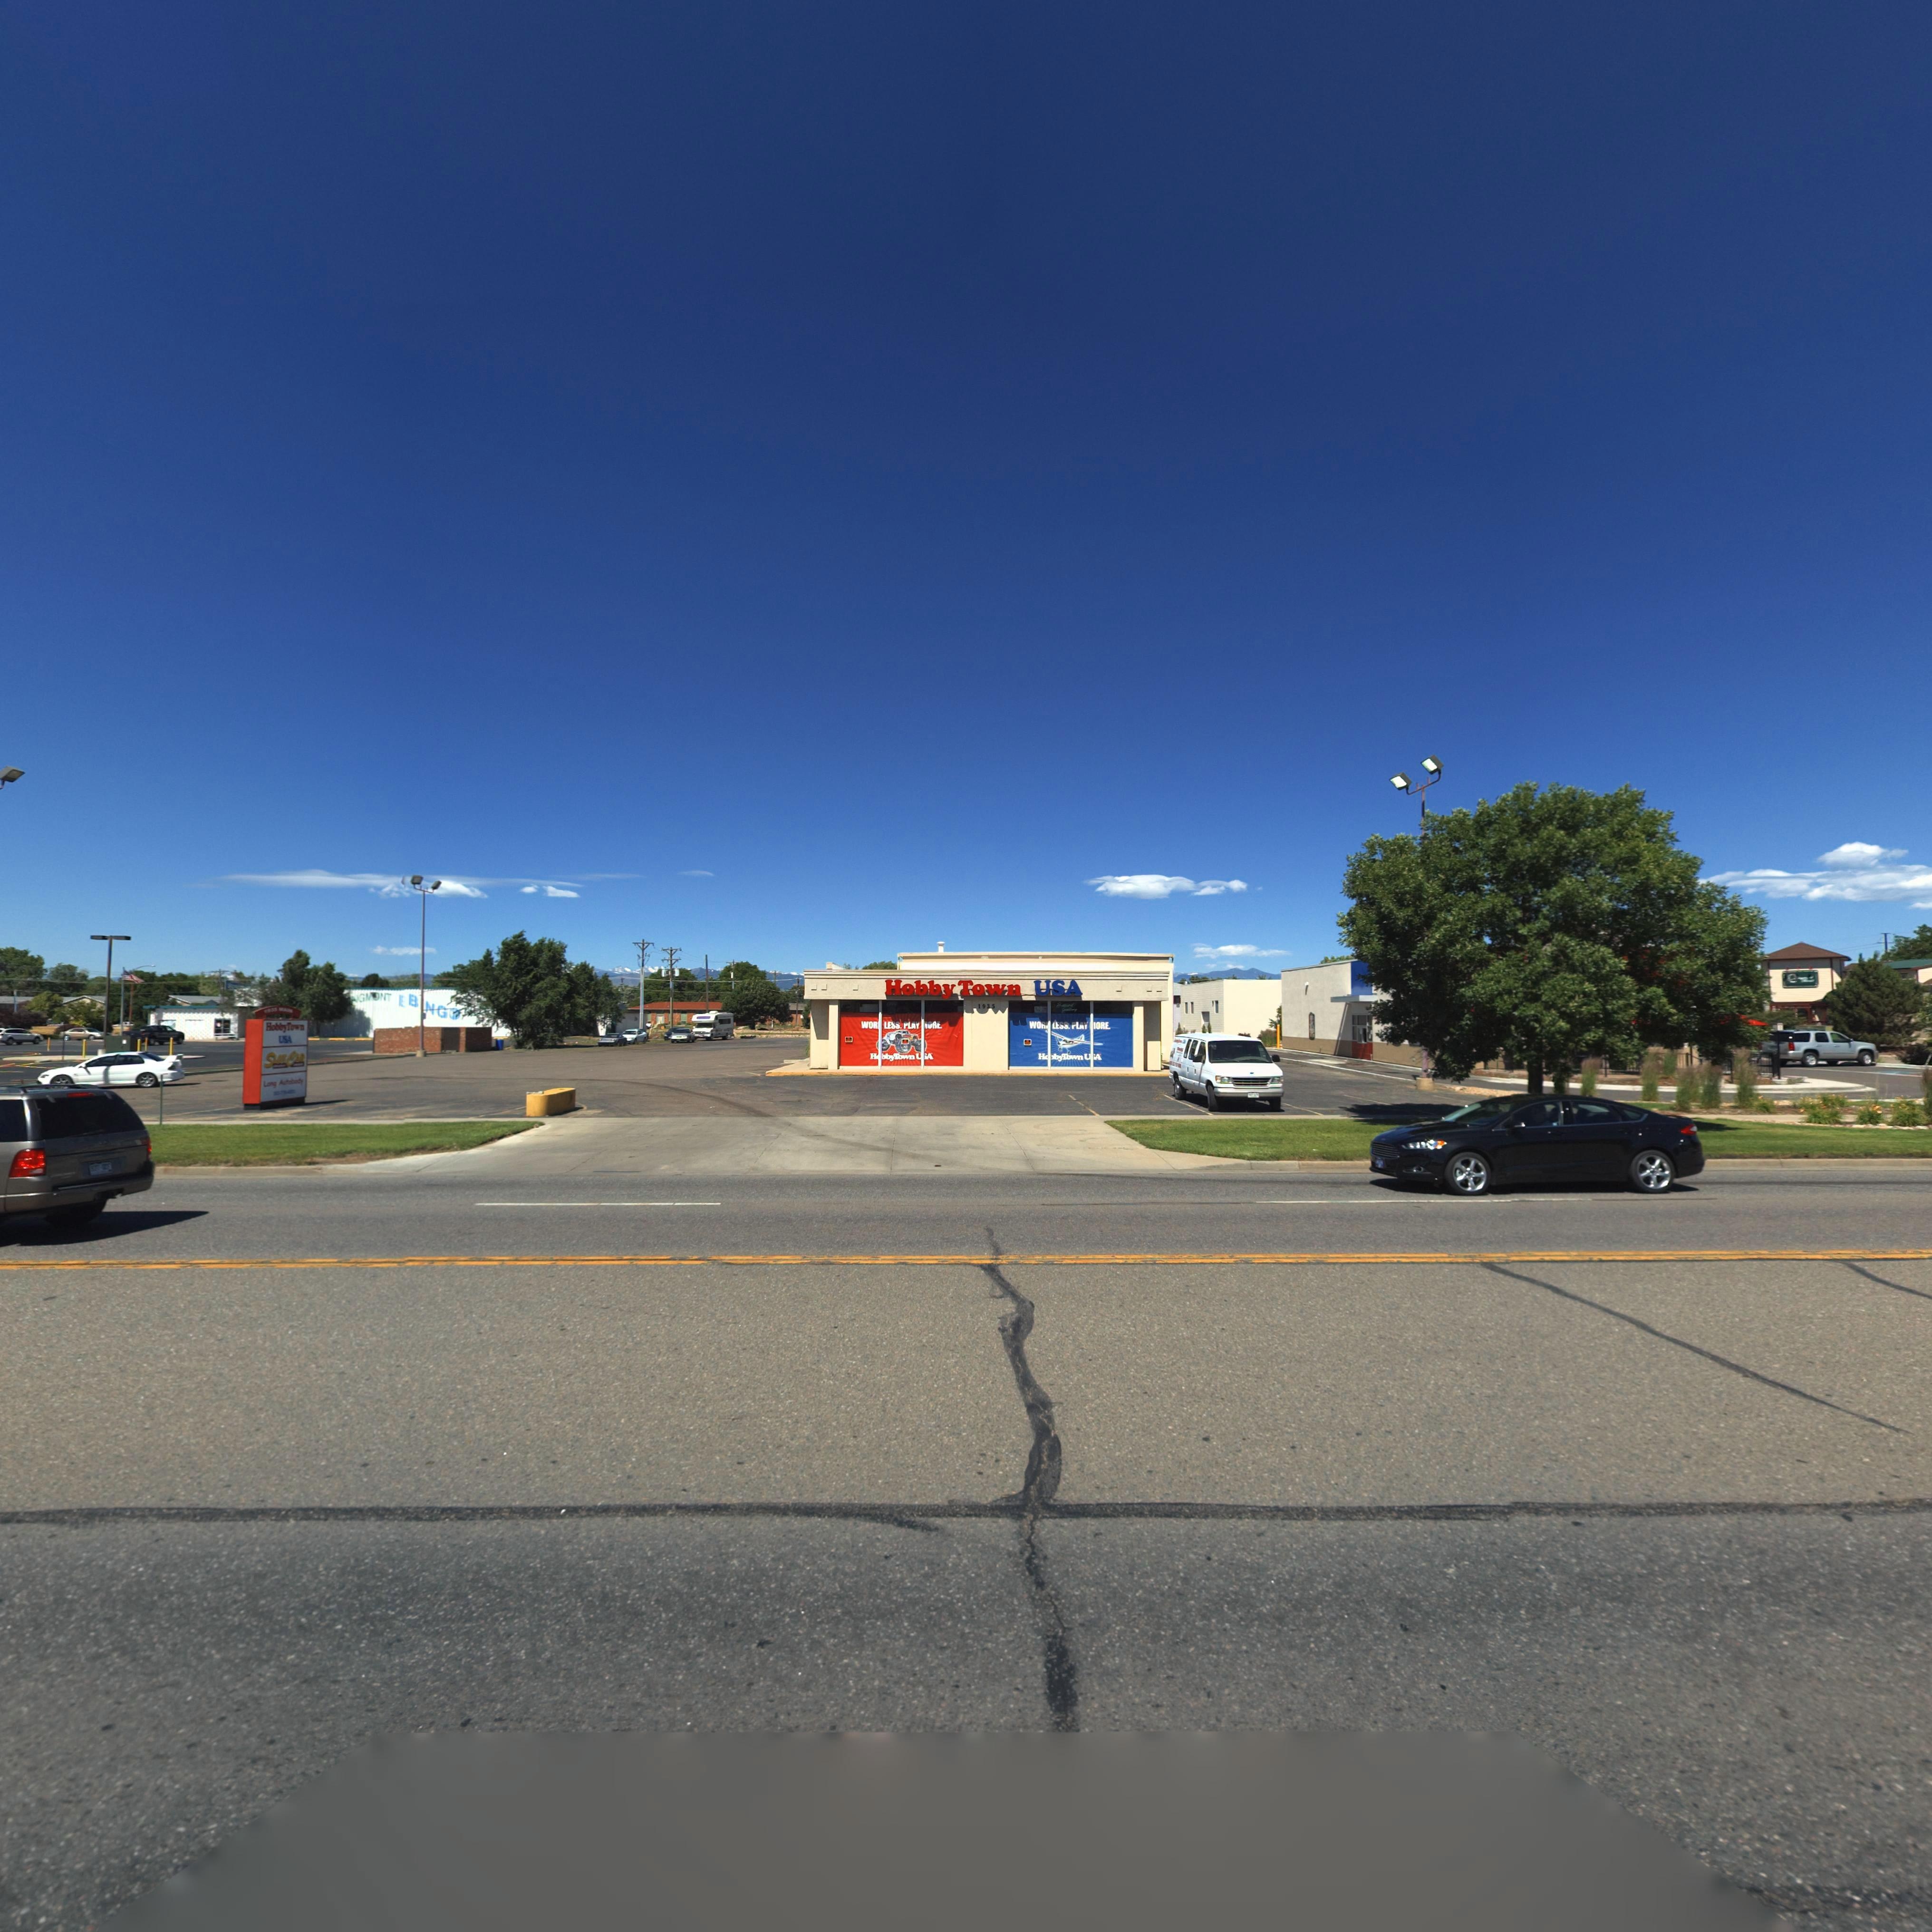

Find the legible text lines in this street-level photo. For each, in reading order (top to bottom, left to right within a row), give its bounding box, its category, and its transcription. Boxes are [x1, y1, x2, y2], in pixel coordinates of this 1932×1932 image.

[1787, 973, 1797, 983] BusinessName: e
[884, 978, 1083, 1000] BusinessName: HobbyTown USA
[263, 1007, 277, 1014] StreetNumber: 1935
[279, 1006, 293, 1014] StreetName: MAIN
[349, 991, 462, 1021] BusinessName: NGMONT BING*
[978, 1003, 995, 1009] StreetNumber: 1935
[265, 1022, 305, 1033] BusinessName: HobbyTown
[278, 1034, 293, 1044] BusinessName: USA
[262, 1050, 307, 1069] BusinessName: SL**CAR
[262, 1076, 304, 1088] BusinessName: Long Autobody